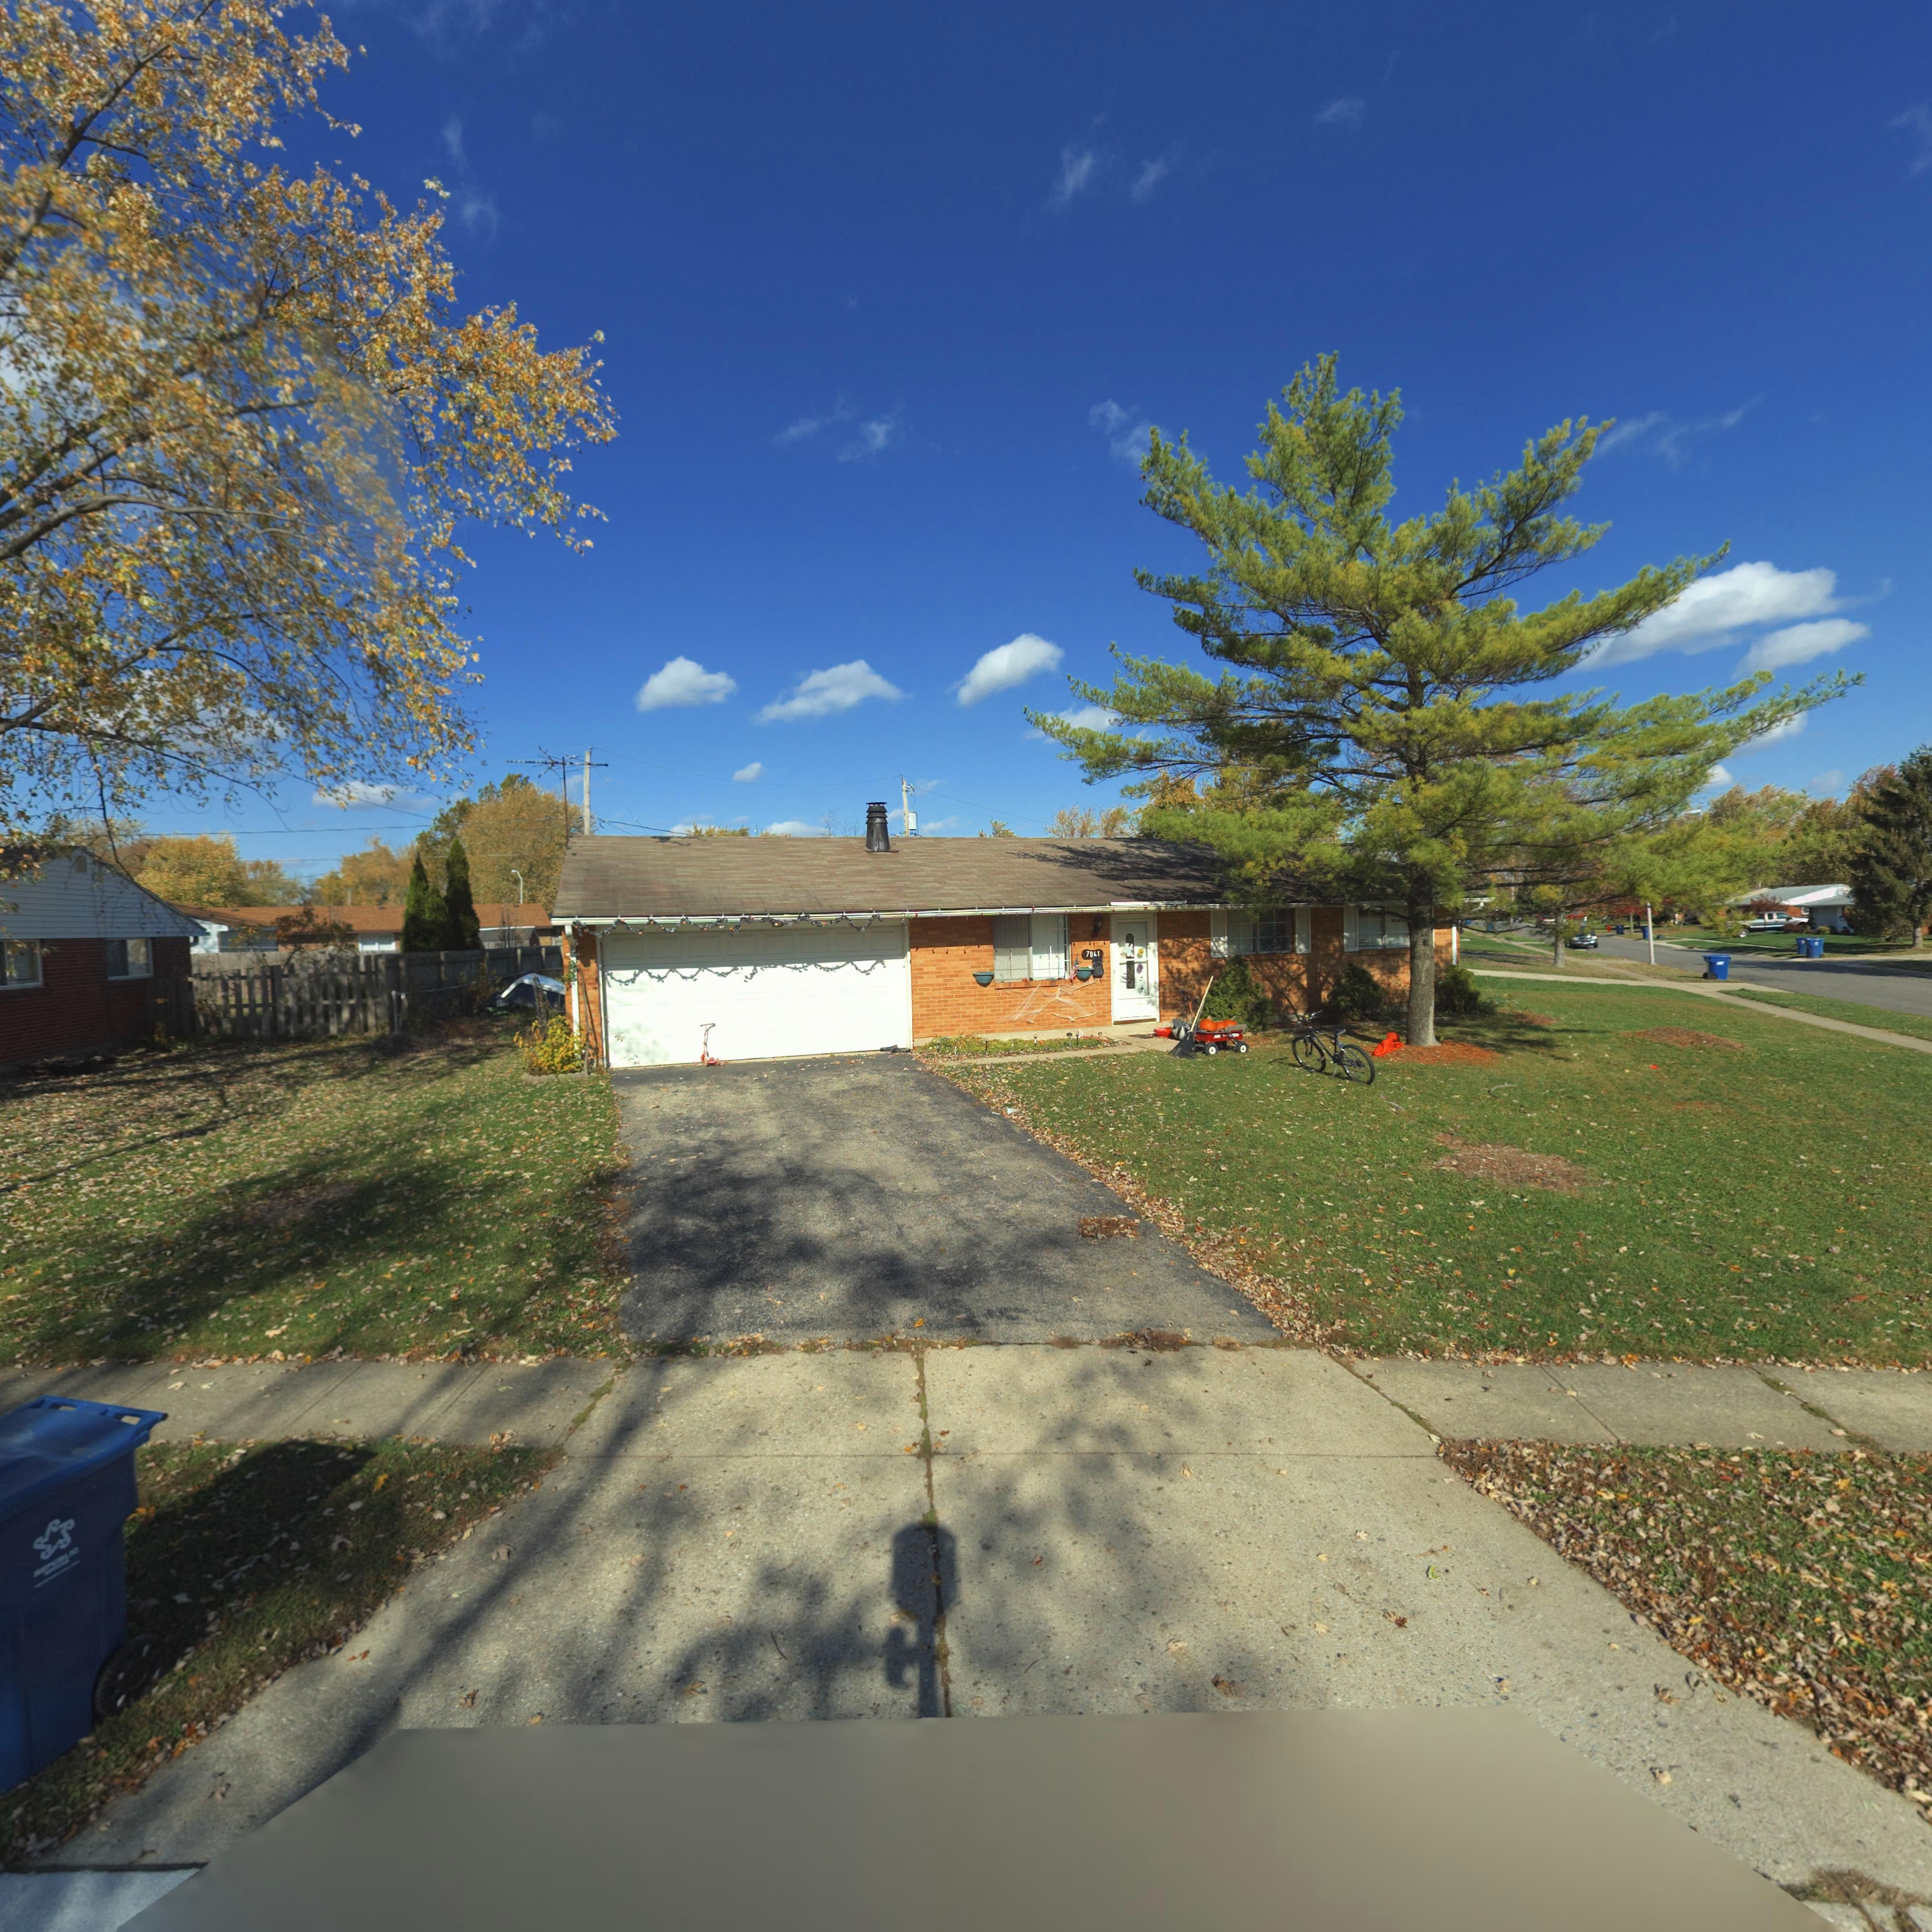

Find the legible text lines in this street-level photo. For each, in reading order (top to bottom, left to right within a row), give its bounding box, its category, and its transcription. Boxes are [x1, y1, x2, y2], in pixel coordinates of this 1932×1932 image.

[1085, 949, 1101, 958] StreetNumber: 70**